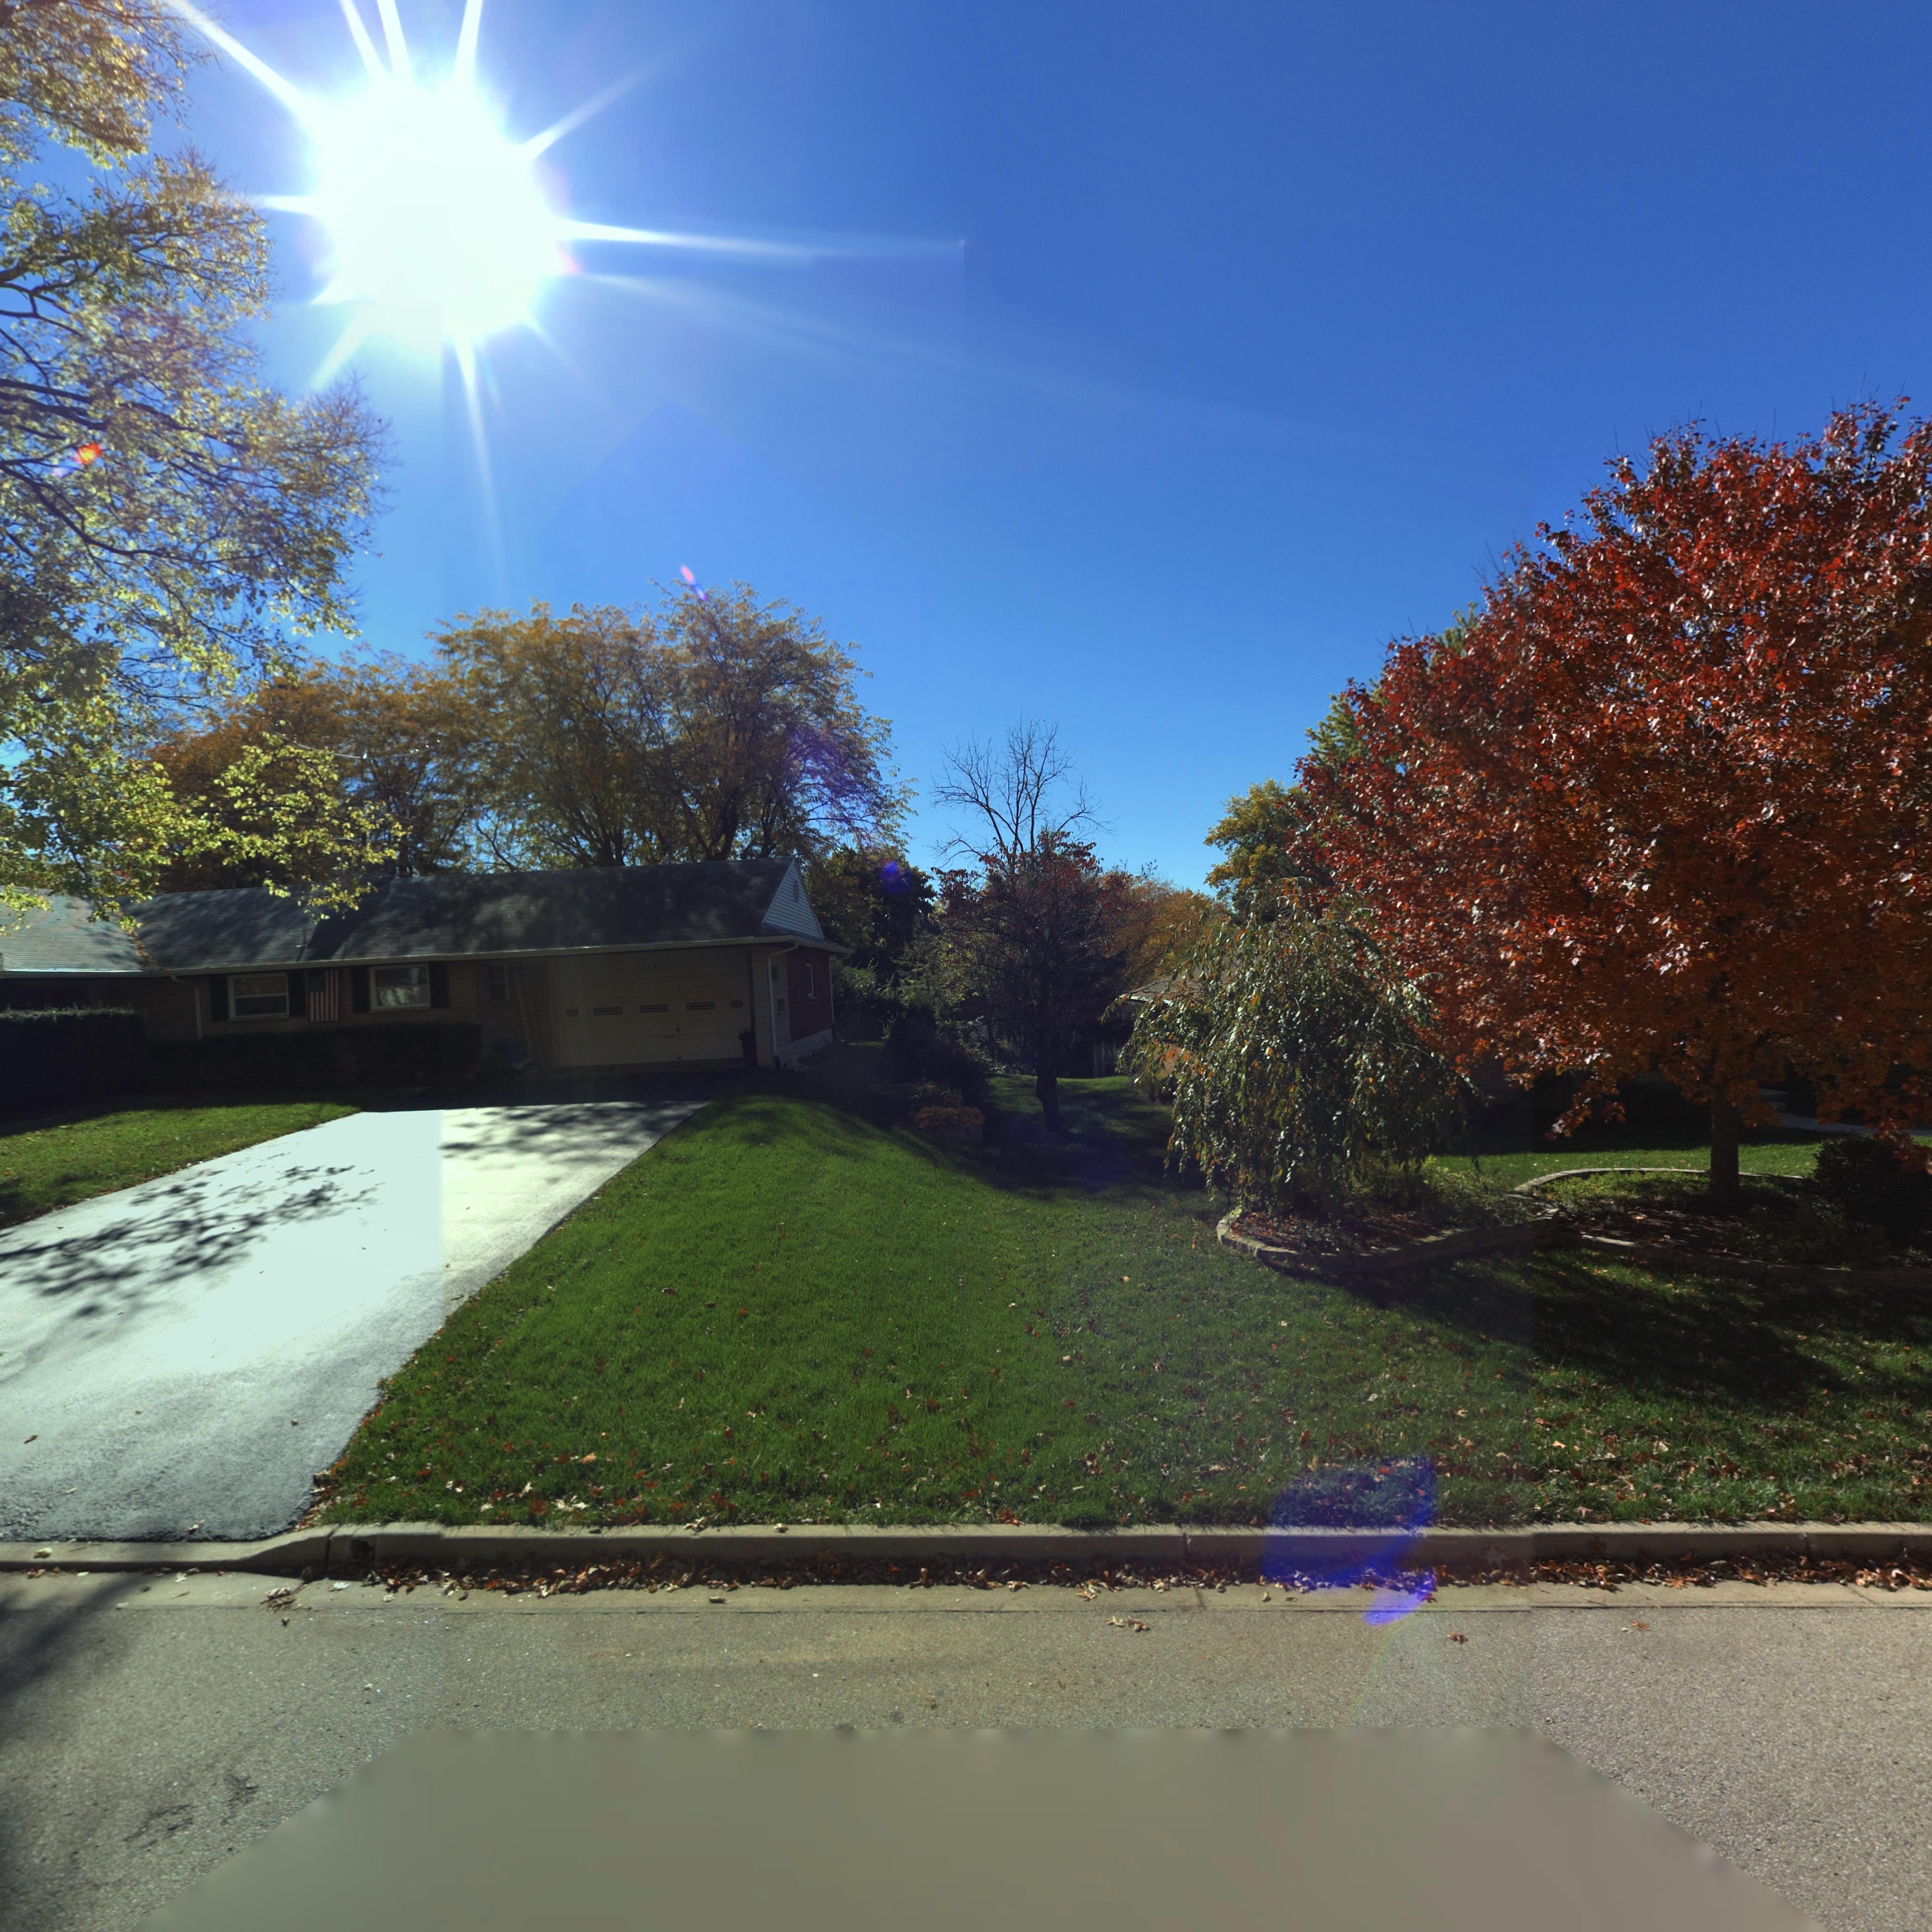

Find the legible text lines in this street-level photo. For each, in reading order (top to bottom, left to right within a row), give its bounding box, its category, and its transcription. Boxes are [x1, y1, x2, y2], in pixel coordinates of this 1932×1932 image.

[640, 961, 658, 971] StreetNumber: 114